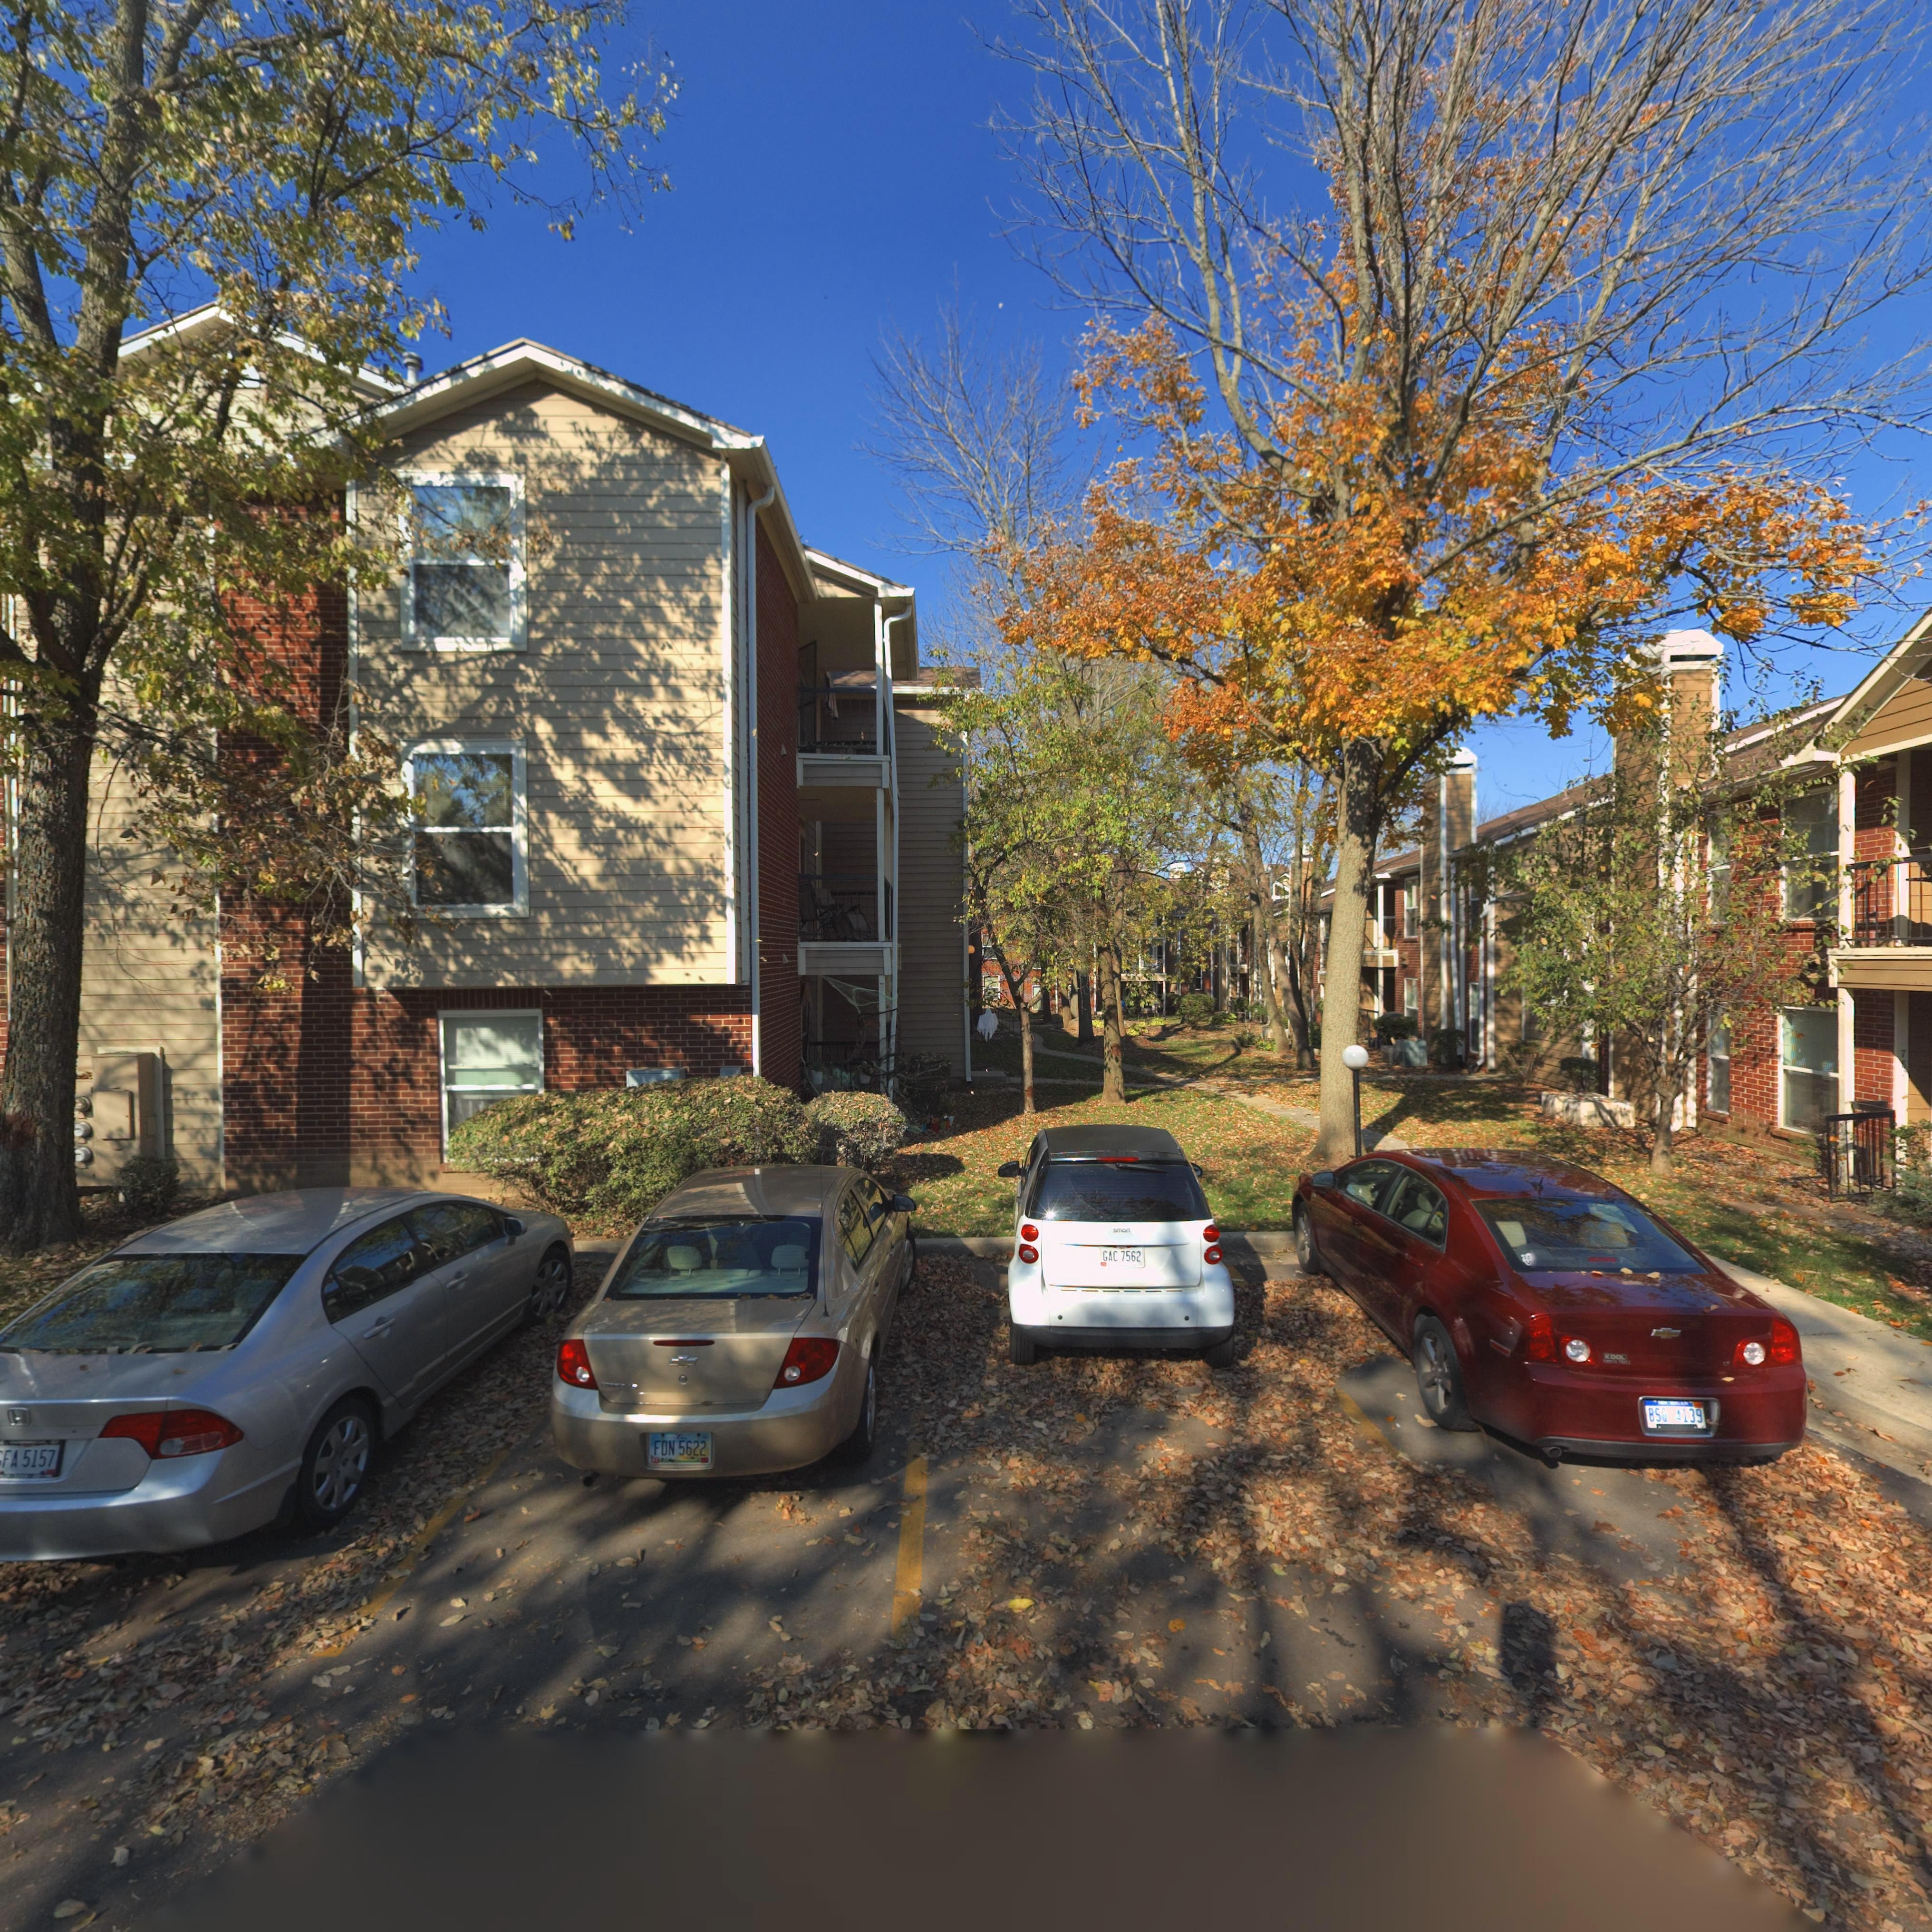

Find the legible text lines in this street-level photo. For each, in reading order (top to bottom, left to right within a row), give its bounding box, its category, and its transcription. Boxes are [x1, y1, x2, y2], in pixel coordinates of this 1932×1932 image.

[1900, 1049, 1907, 1077] StreetNumber: 7**
[1113, 1227, 1131, 1233] None: smart
[1102, 1250, 1141, 1262] None: GAC*7562
[1604, 1353, 1626, 1360] None: KOOL
[1648, 1407, 1703, 1424] None: BSQ*4139
[654, 1439, 707, 1457] None: FDN*5622
[0, 1449, 57, 1468] None: FA*5157